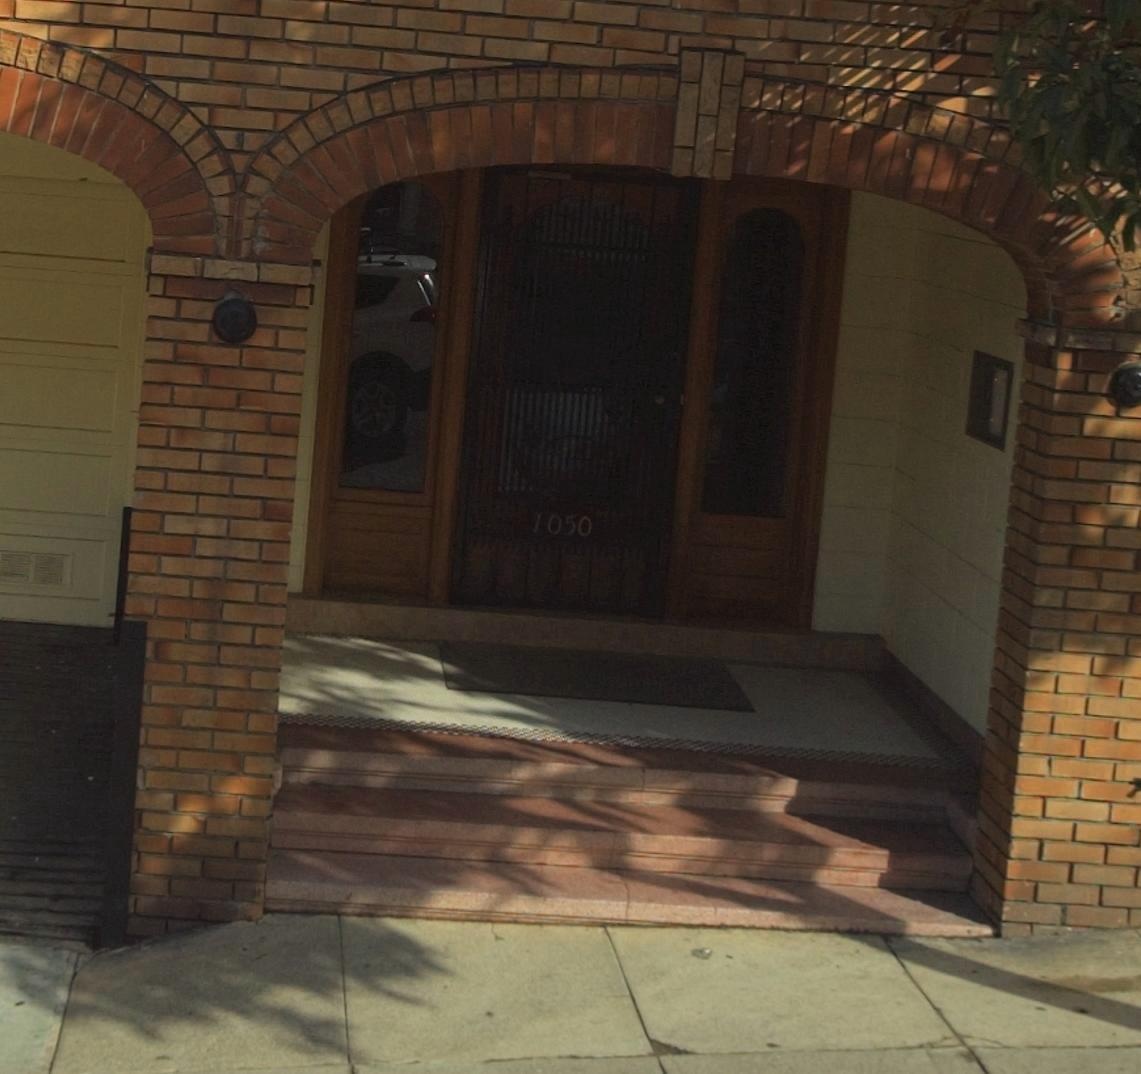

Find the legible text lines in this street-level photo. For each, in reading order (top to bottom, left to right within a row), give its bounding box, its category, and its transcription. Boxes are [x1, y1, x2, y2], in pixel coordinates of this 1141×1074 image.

[526, 507, 596, 542] StreetNumber: 1050